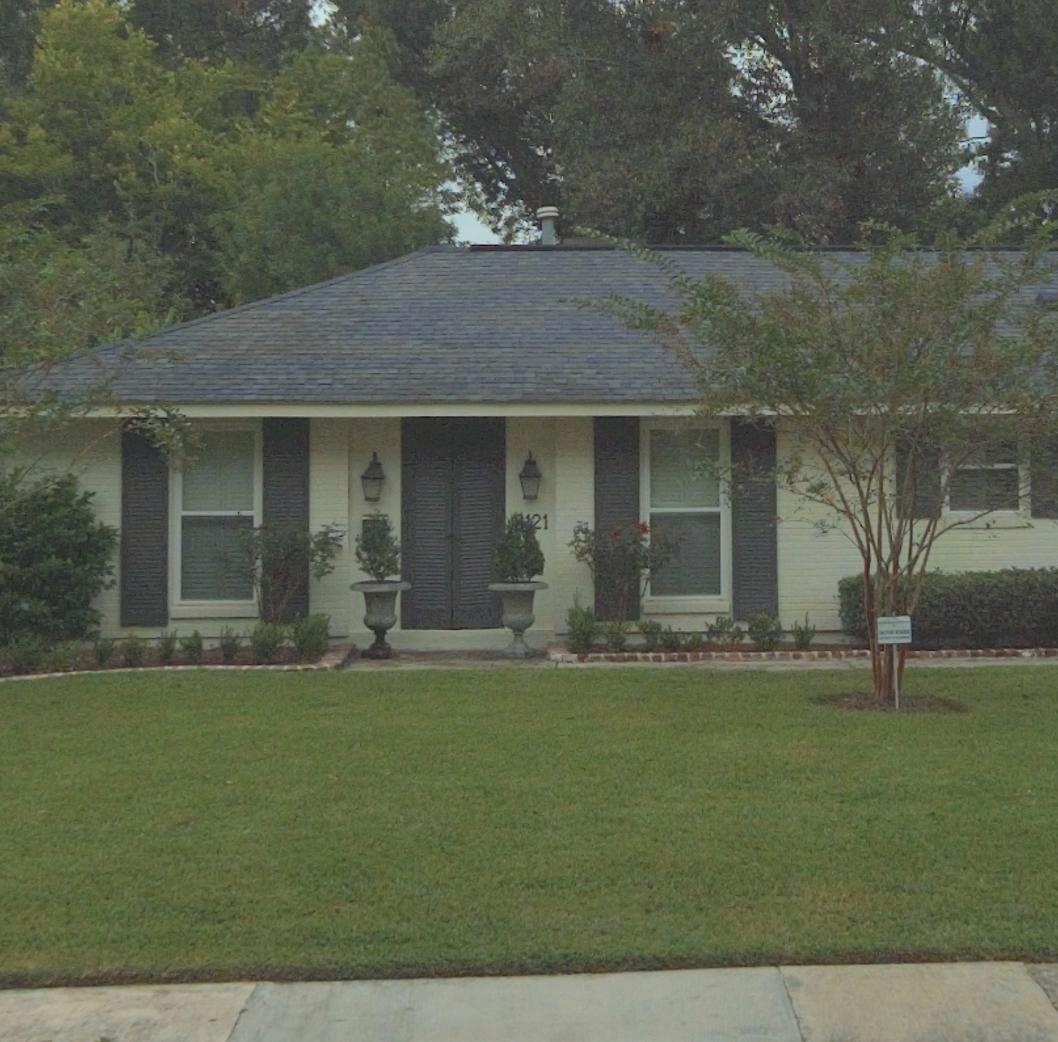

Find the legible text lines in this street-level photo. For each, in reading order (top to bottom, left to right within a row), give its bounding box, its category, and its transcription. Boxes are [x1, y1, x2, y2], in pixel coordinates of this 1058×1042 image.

[516, 512, 549, 530] StreetNumber: 8121